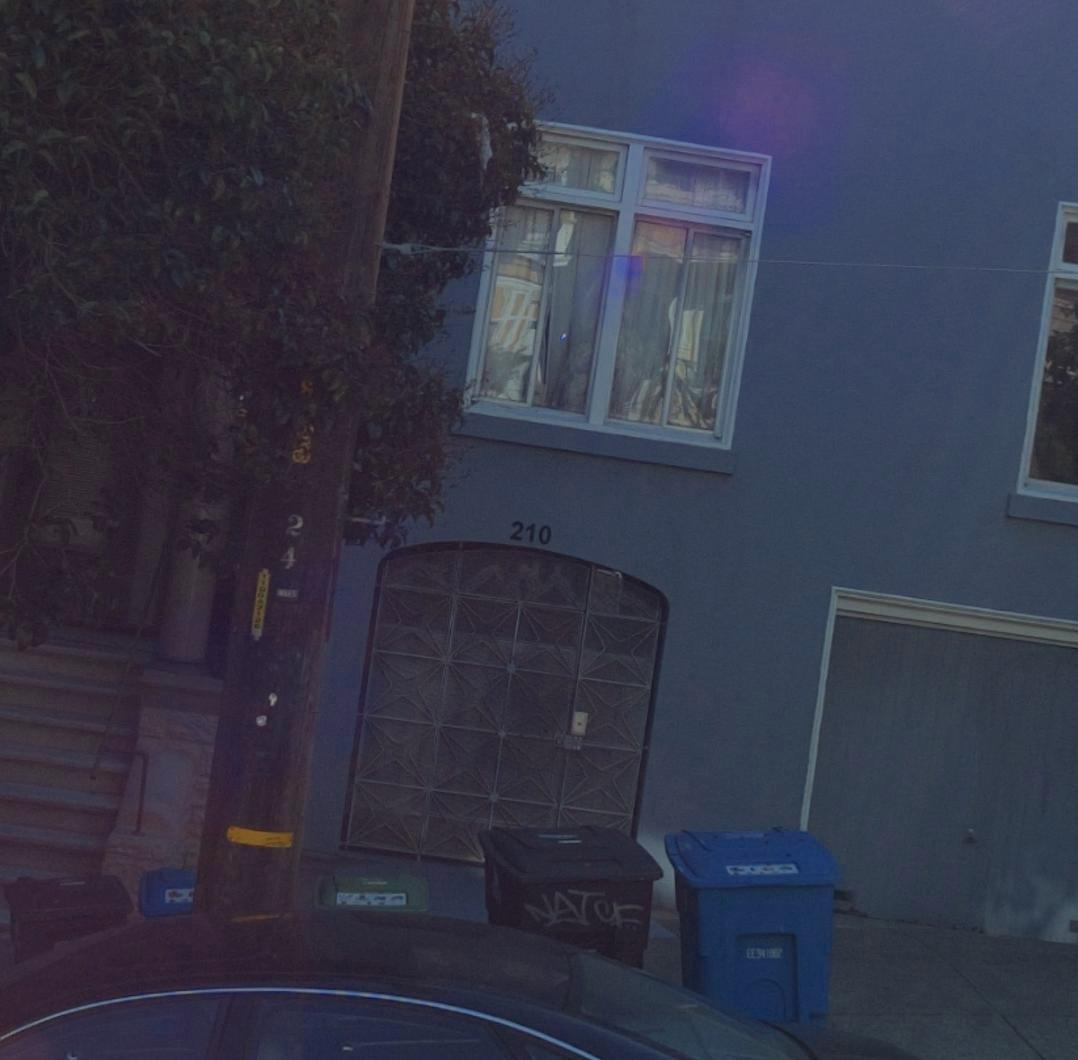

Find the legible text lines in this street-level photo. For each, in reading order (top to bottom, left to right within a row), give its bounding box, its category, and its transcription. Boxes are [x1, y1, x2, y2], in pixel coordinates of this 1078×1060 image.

[276, 511, 306, 573] None: 24
[506, 519, 554, 547] StreetNumber: 210